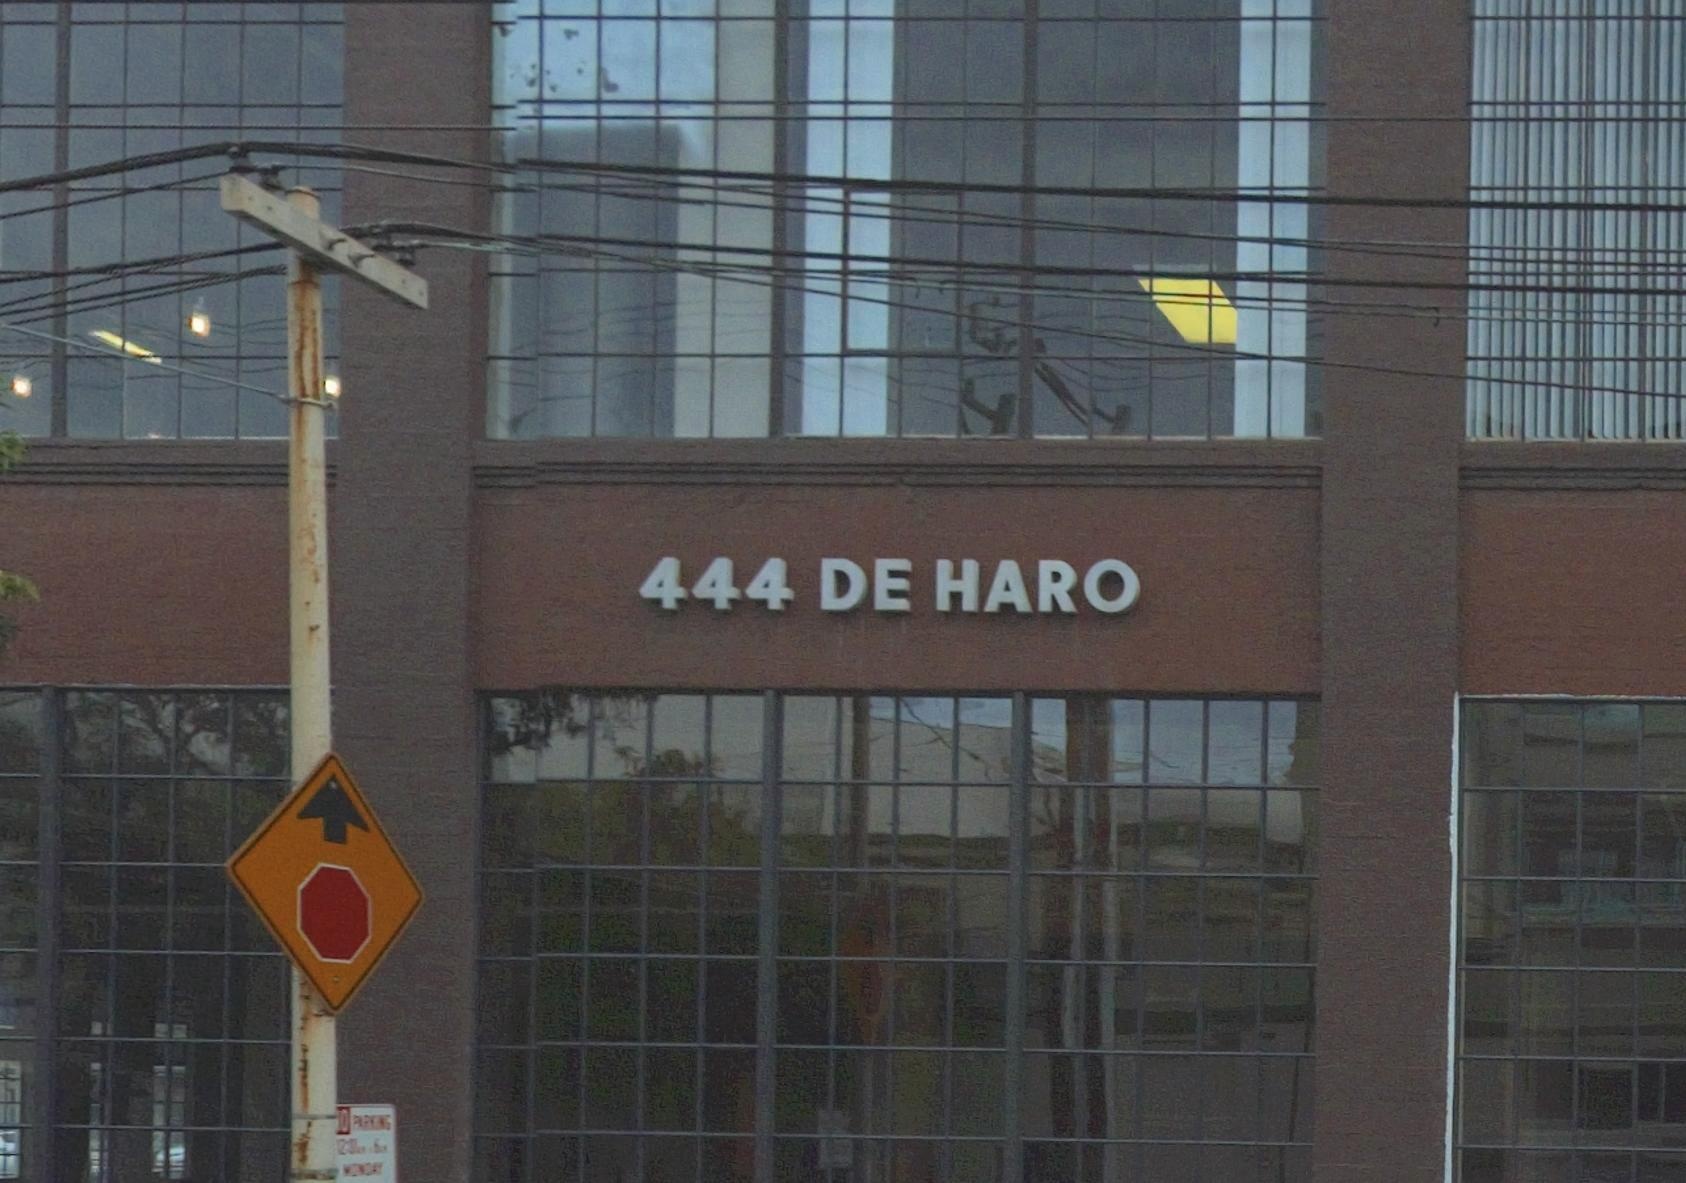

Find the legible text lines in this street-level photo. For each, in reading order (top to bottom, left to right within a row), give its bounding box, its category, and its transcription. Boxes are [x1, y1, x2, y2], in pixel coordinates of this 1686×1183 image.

[637, 555, 796, 615] StreetNumber: 444
[816, 554, 1143, 616] StreetName: DE HARO
[339, 1107, 392, 1133] None: O PARKING
[336, 1138, 357, 1155] None: 12:00
[373, 1138, 381, 1153] None: 6
[342, 1162, 384, 1177] None: WEDNESDAY